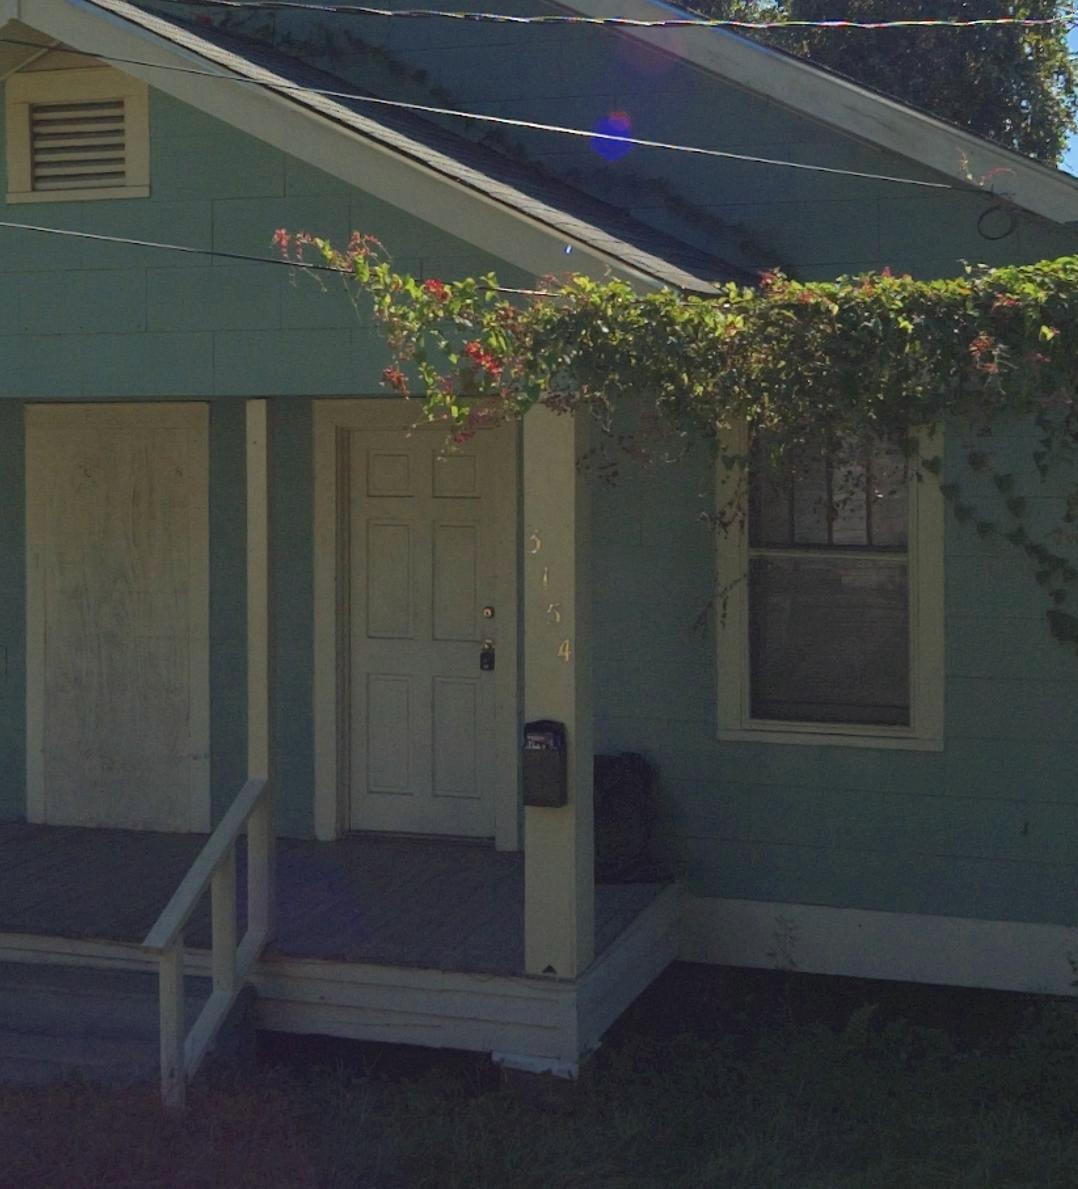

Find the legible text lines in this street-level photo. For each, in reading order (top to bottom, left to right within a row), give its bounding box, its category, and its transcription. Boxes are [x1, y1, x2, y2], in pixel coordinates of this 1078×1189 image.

[522, 527, 575, 664] StreetNumber: 3154